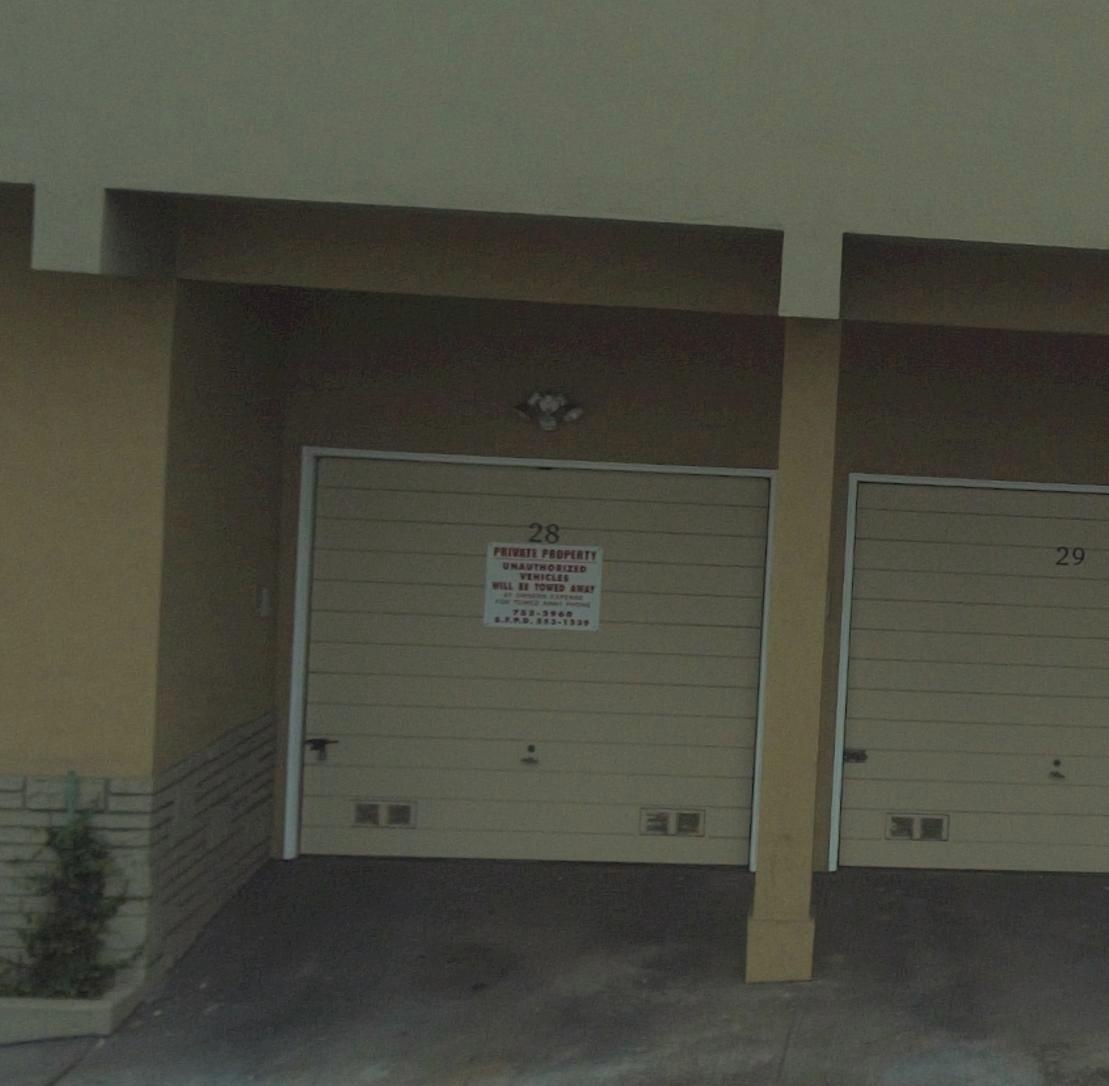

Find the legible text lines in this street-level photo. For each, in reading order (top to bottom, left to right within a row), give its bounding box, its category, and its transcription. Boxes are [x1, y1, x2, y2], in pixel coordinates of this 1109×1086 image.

[527, 521, 560, 544] StreetNumber: 28
[492, 545, 598, 561] None: PRIVATE PROPERTY
[1053, 545, 1087, 567] StreetNumber: 29
[501, 560, 589, 574] None: UNAUTHORIZED
[519, 571, 570, 584] None: VEHICLES
[490, 580, 596, 595] None: WILL BE TOWED AWAY
[510, 608, 576, 618] None: 753-*960
[493, 615, 534, 626] None: S.F.P.D
[535, 617, 592, 628] None: 5*3-1239